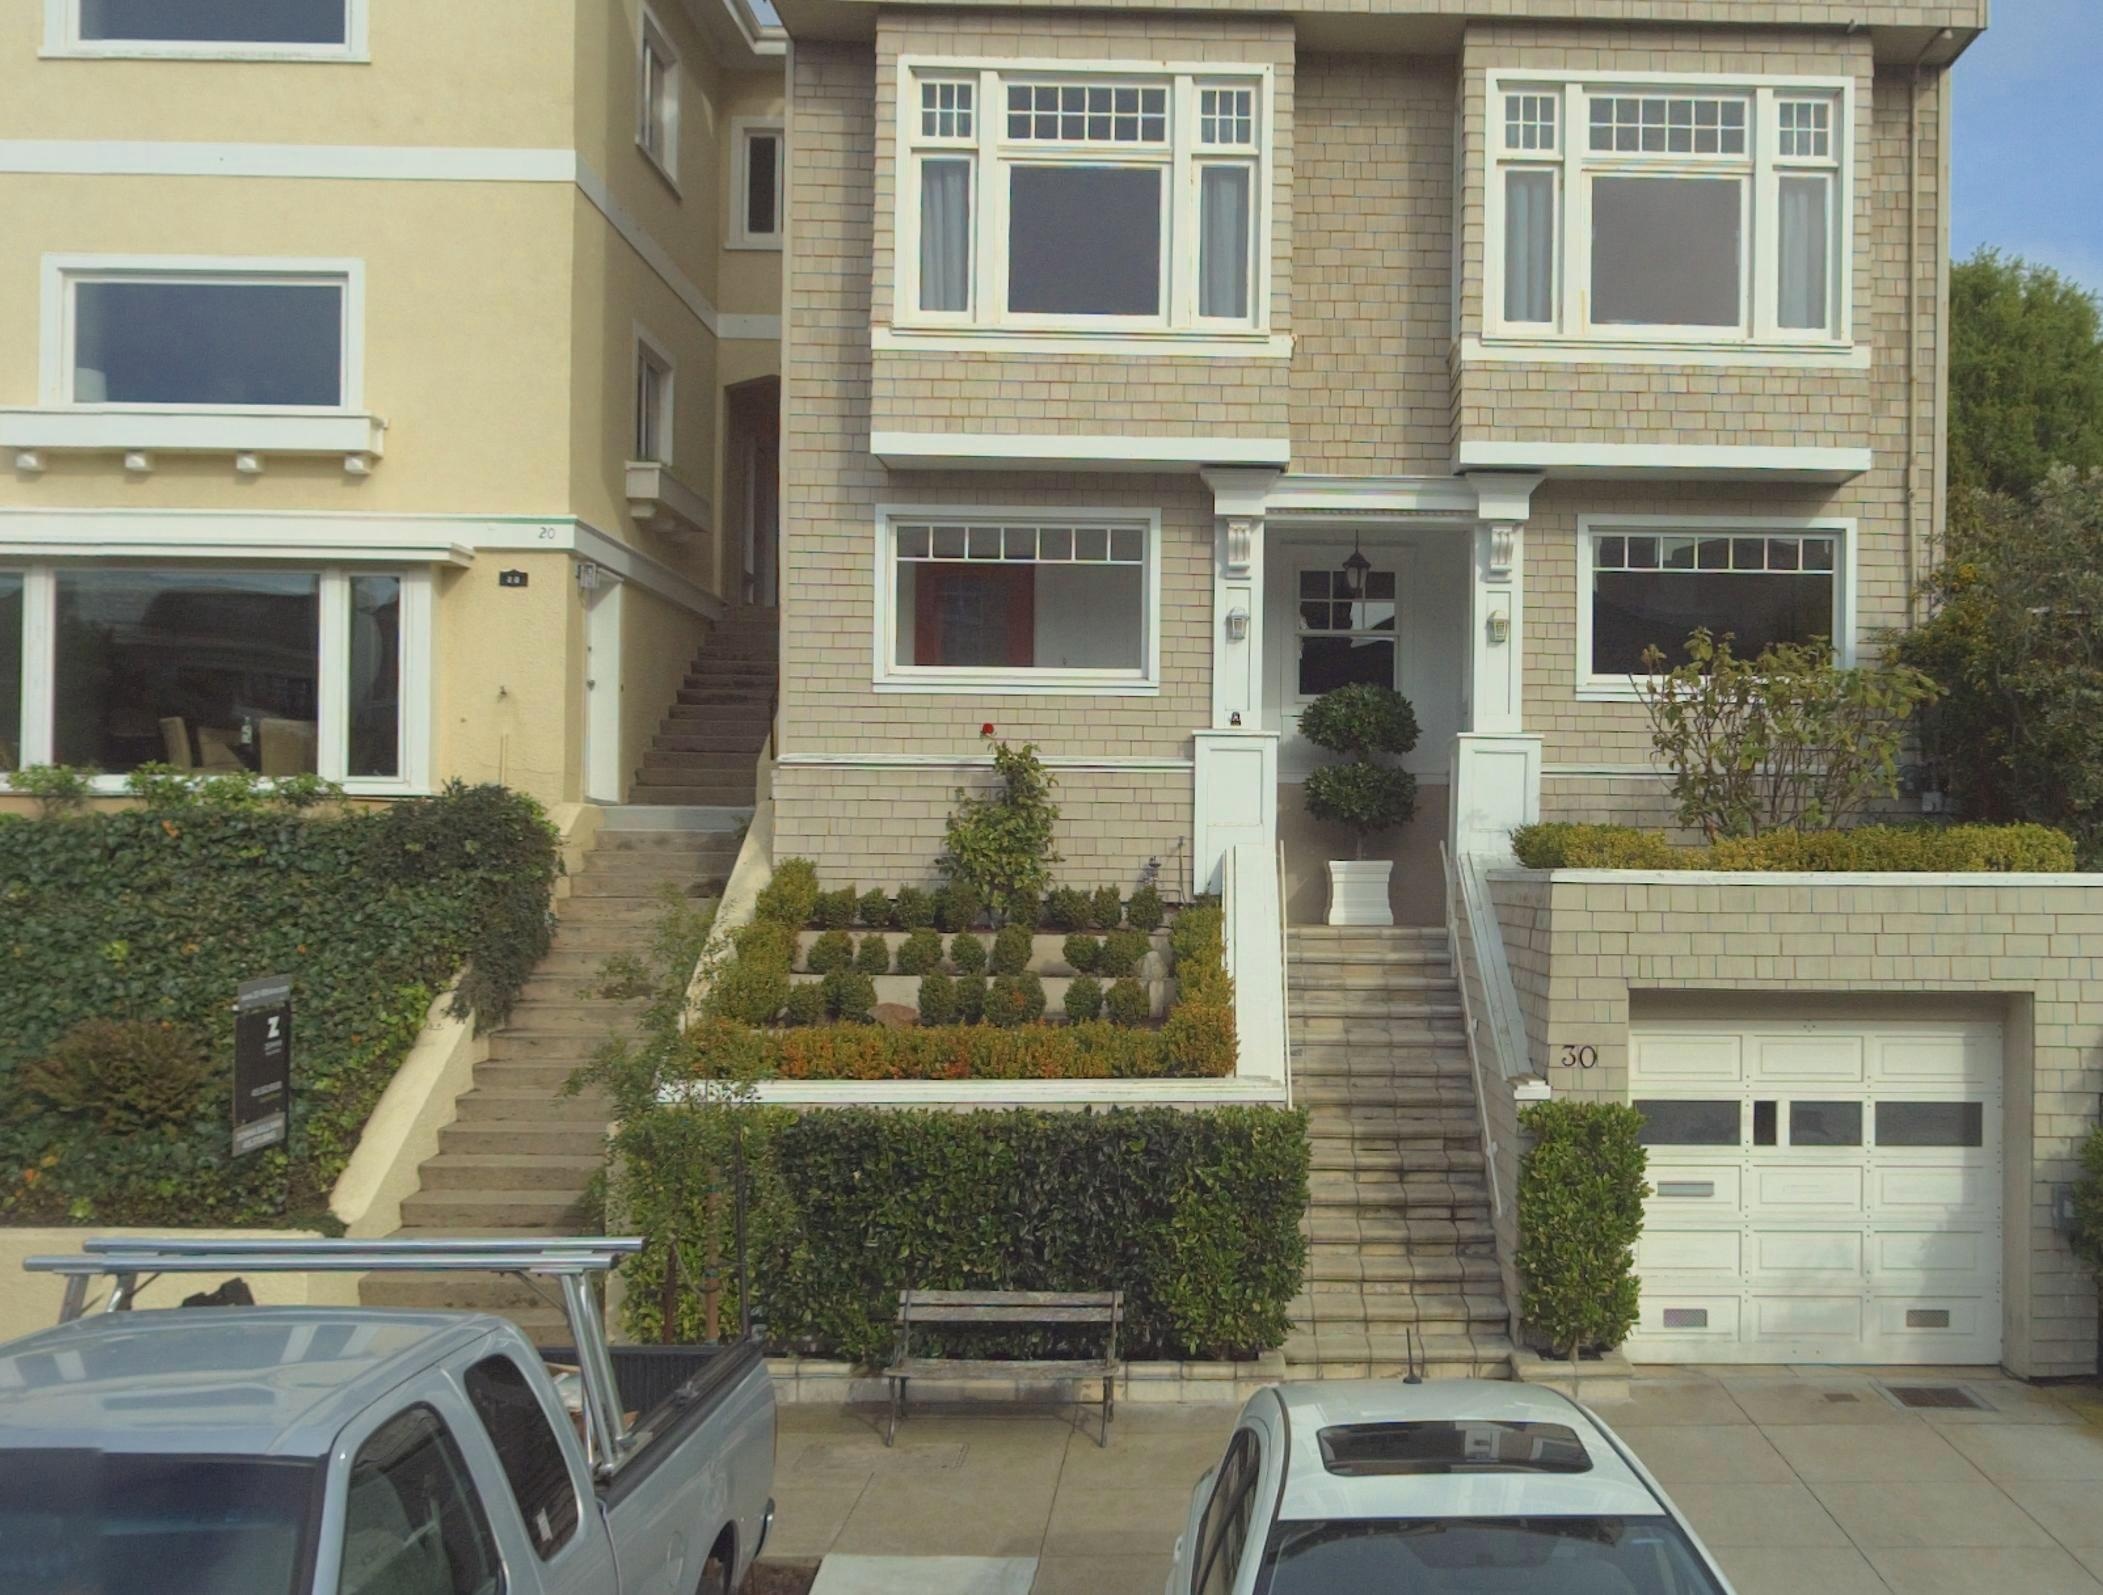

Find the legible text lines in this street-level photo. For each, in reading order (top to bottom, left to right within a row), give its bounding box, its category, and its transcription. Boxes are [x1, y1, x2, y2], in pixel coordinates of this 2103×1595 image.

[538, 525, 556, 541] StreetNumber: 20
[267, 1014, 280, 1040] None: z
[1559, 1043, 1598, 1070] StreetNumber: 30